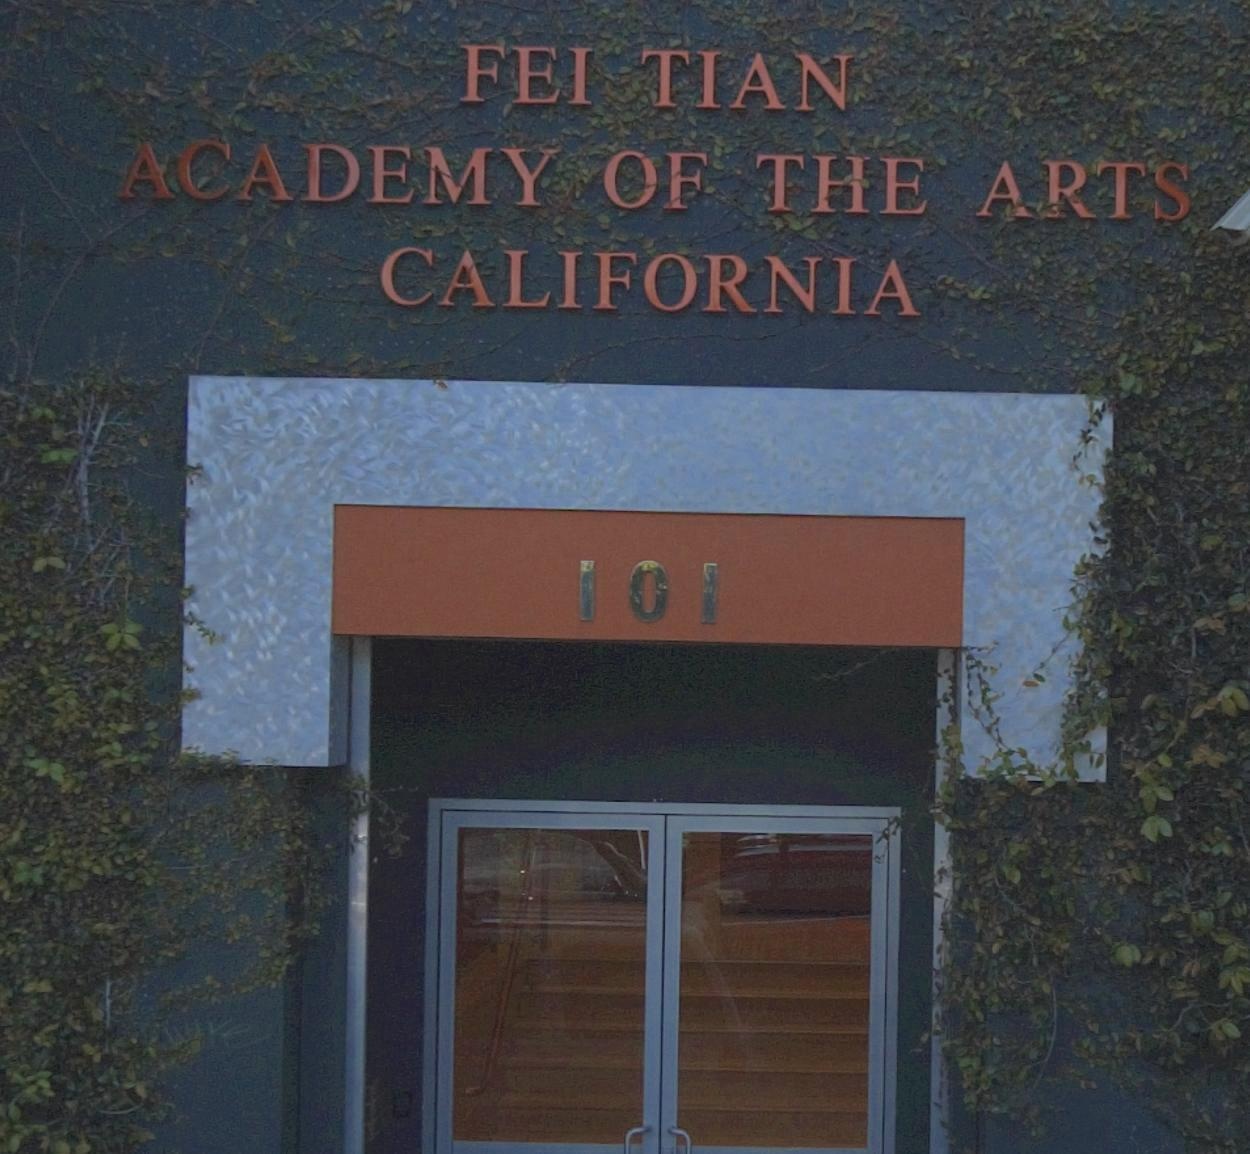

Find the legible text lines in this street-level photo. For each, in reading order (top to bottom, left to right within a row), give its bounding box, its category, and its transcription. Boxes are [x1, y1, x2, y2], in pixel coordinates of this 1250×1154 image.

[453, 38, 860, 117] BusinessName: FEI TIAN
[108, 130, 1201, 229] BusinessName: ACADEMY OF THE ARTS
[374, 241, 926, 322] BusinessName: CALIFORNIA
[574, 553, 722, 628] StreetNumber: 101